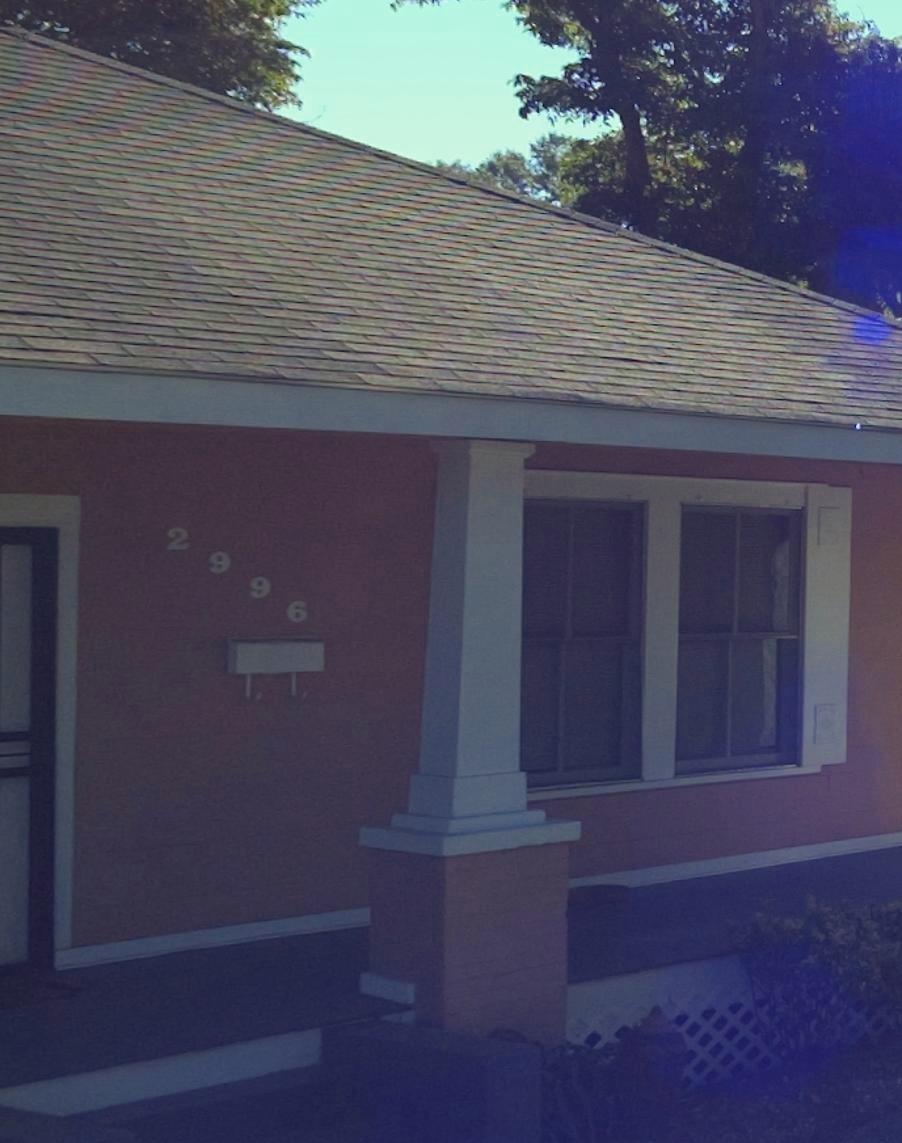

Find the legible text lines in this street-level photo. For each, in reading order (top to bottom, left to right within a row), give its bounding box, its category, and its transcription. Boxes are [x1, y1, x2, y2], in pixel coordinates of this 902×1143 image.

[161, 521, 313, 627] StreetNumber: 2996